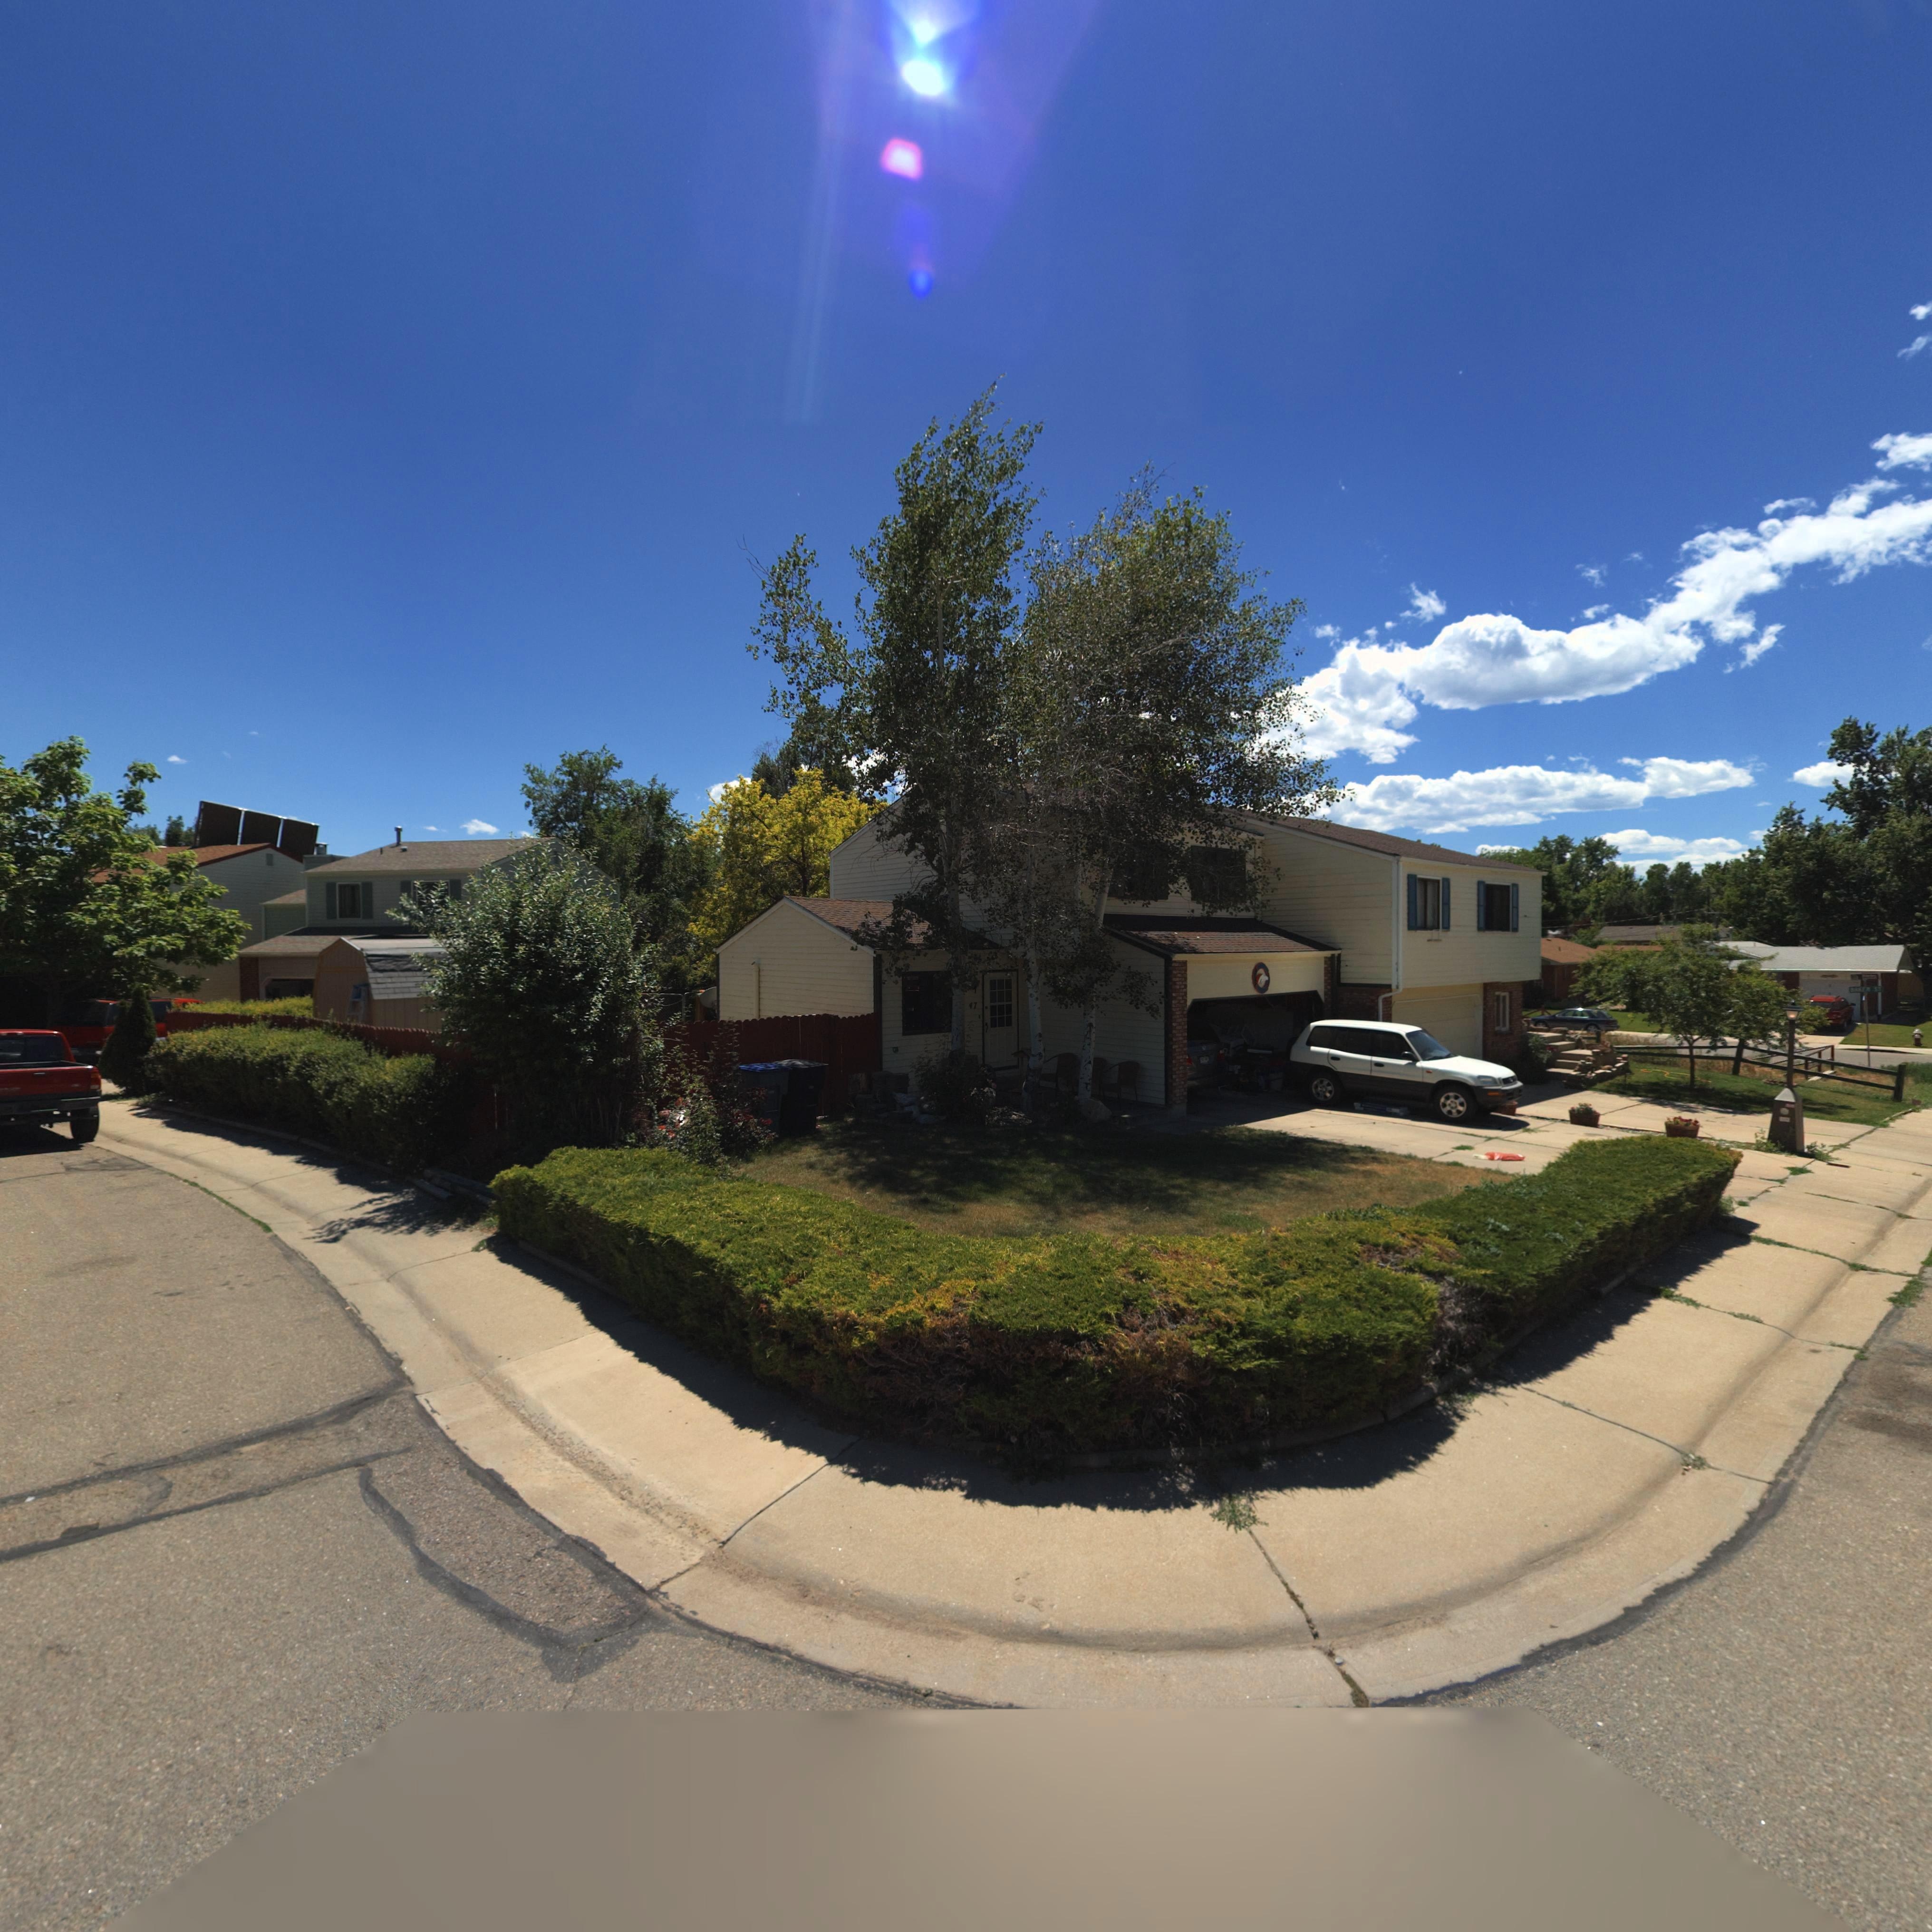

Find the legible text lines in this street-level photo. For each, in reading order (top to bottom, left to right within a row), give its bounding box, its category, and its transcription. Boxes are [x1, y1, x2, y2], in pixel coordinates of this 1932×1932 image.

[968, 1002, 977, 1009] StreetNumber: 47